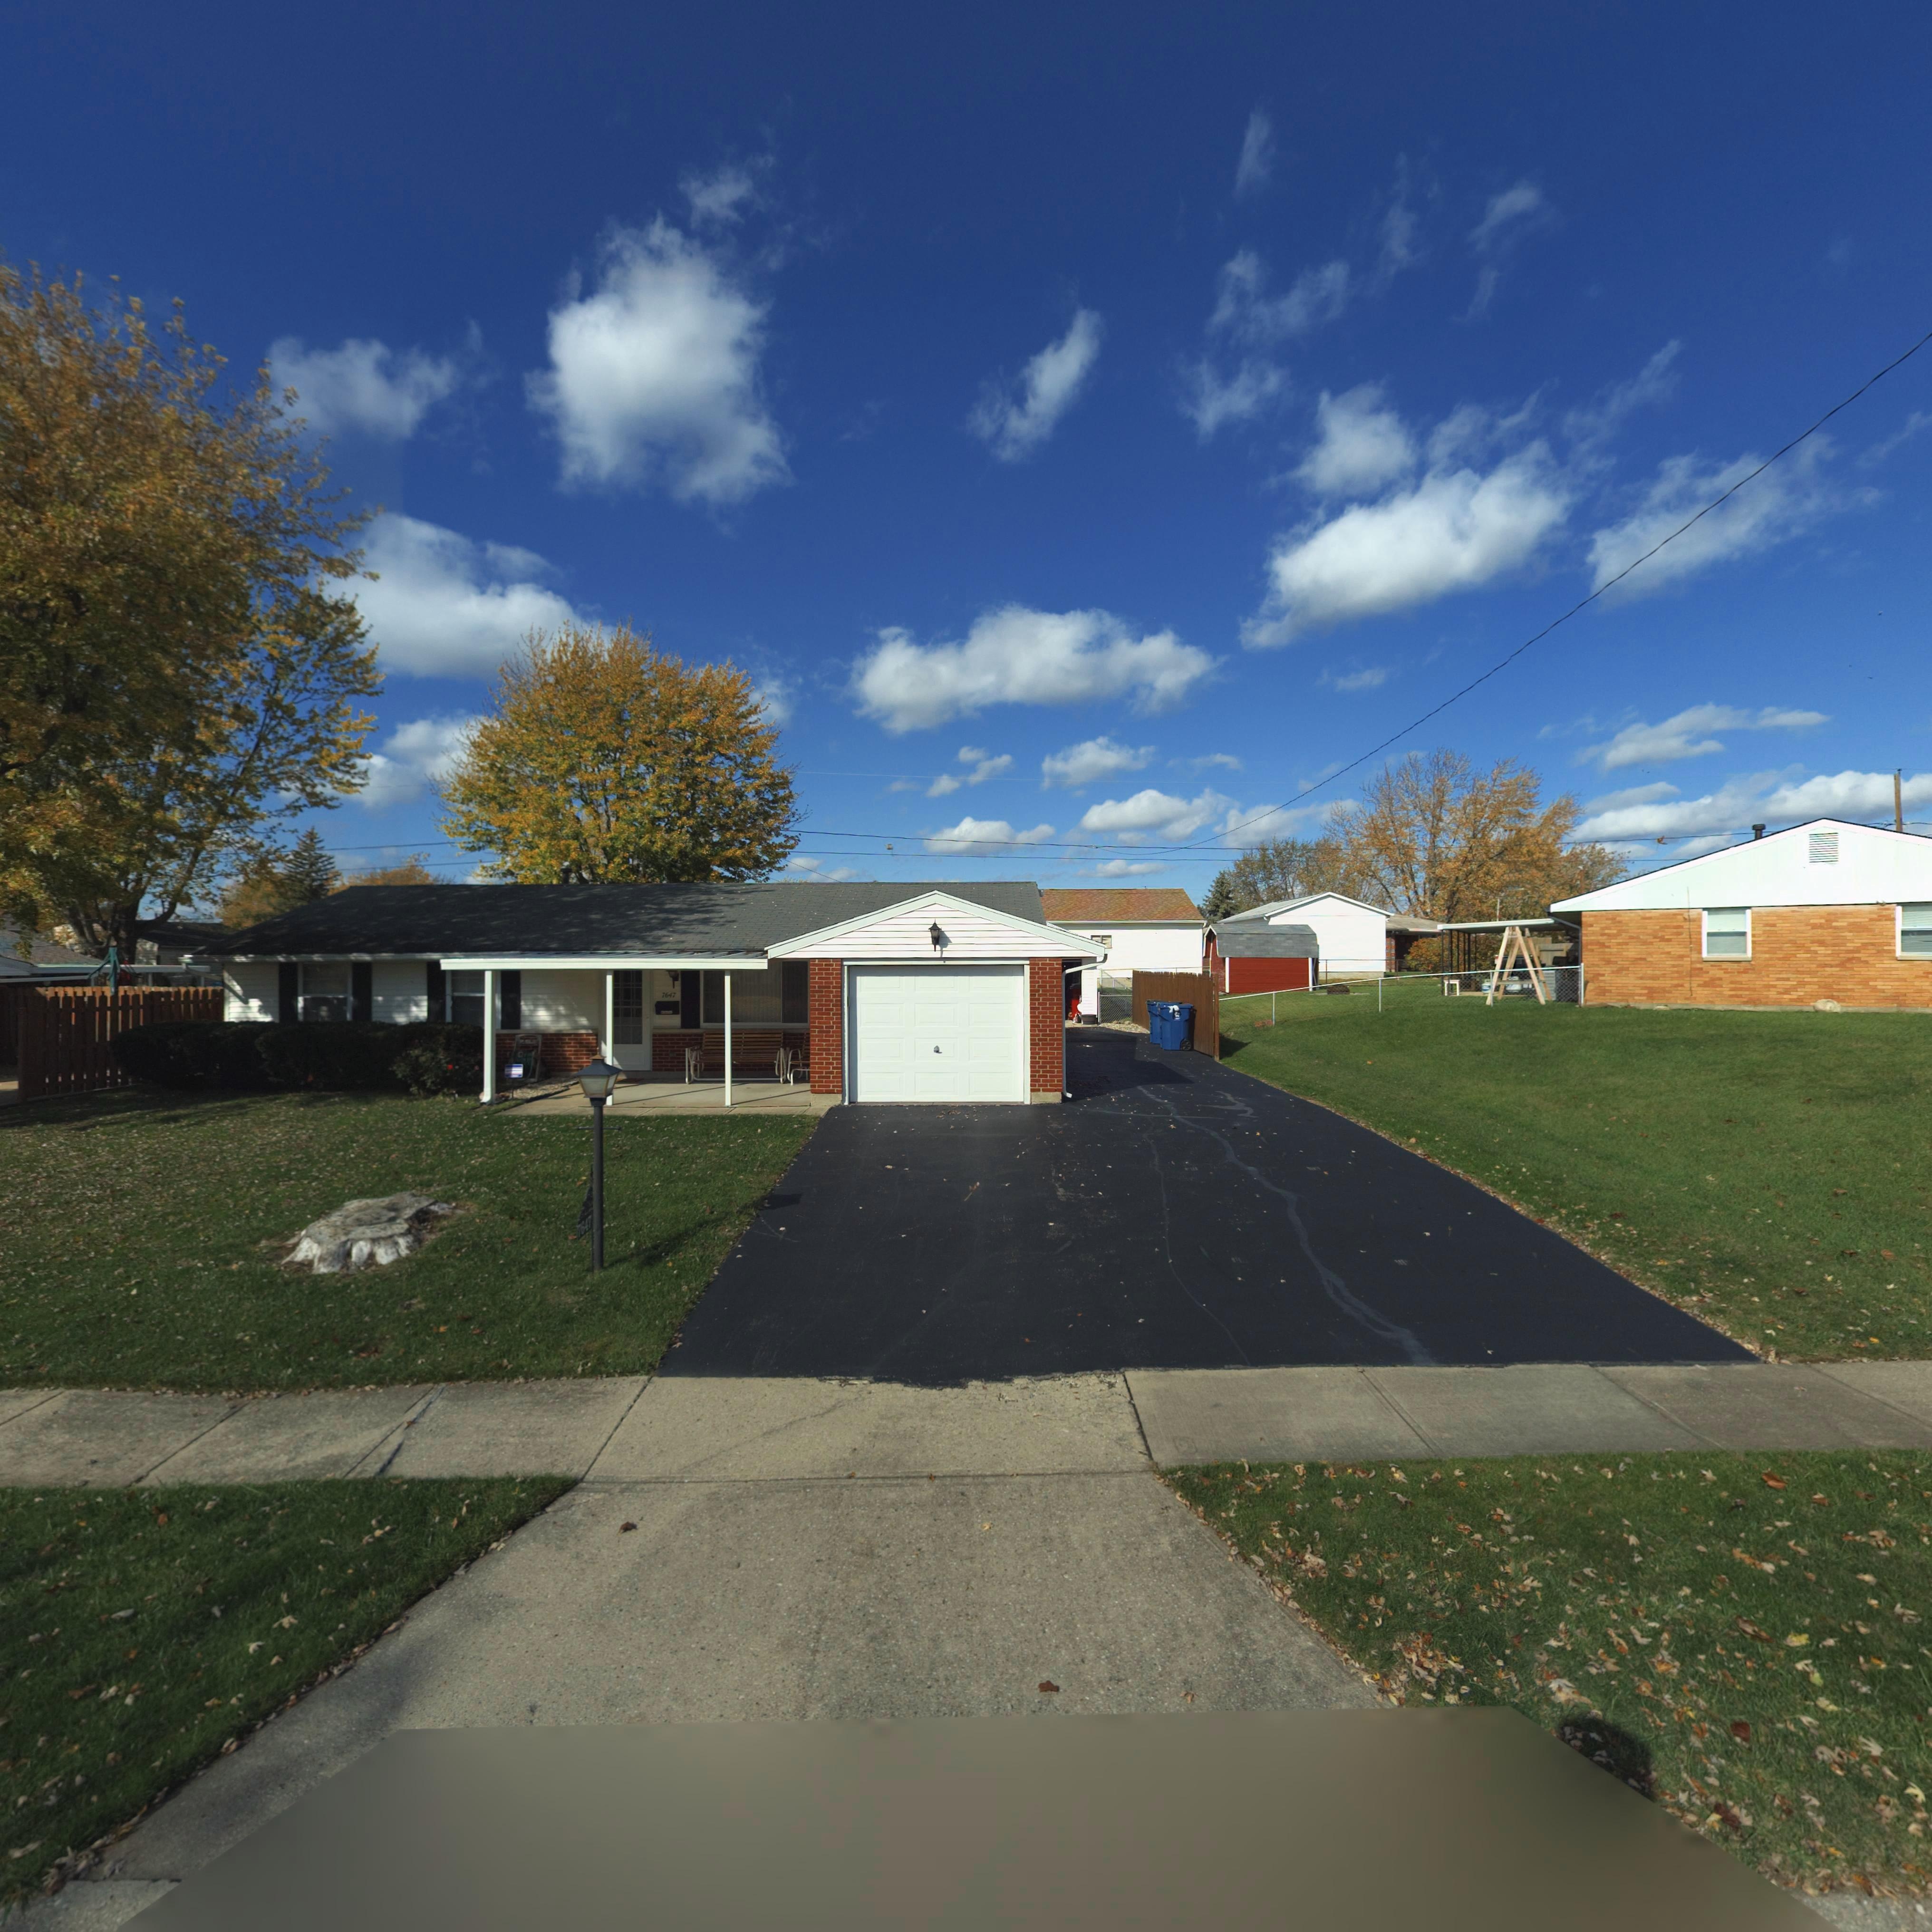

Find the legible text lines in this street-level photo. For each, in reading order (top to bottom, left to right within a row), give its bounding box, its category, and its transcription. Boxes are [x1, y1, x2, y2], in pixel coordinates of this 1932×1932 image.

[662, 992, 676, 998] StreetNumber: 7647
[576, 1214, 592, 1238] StreetNumber: 7647